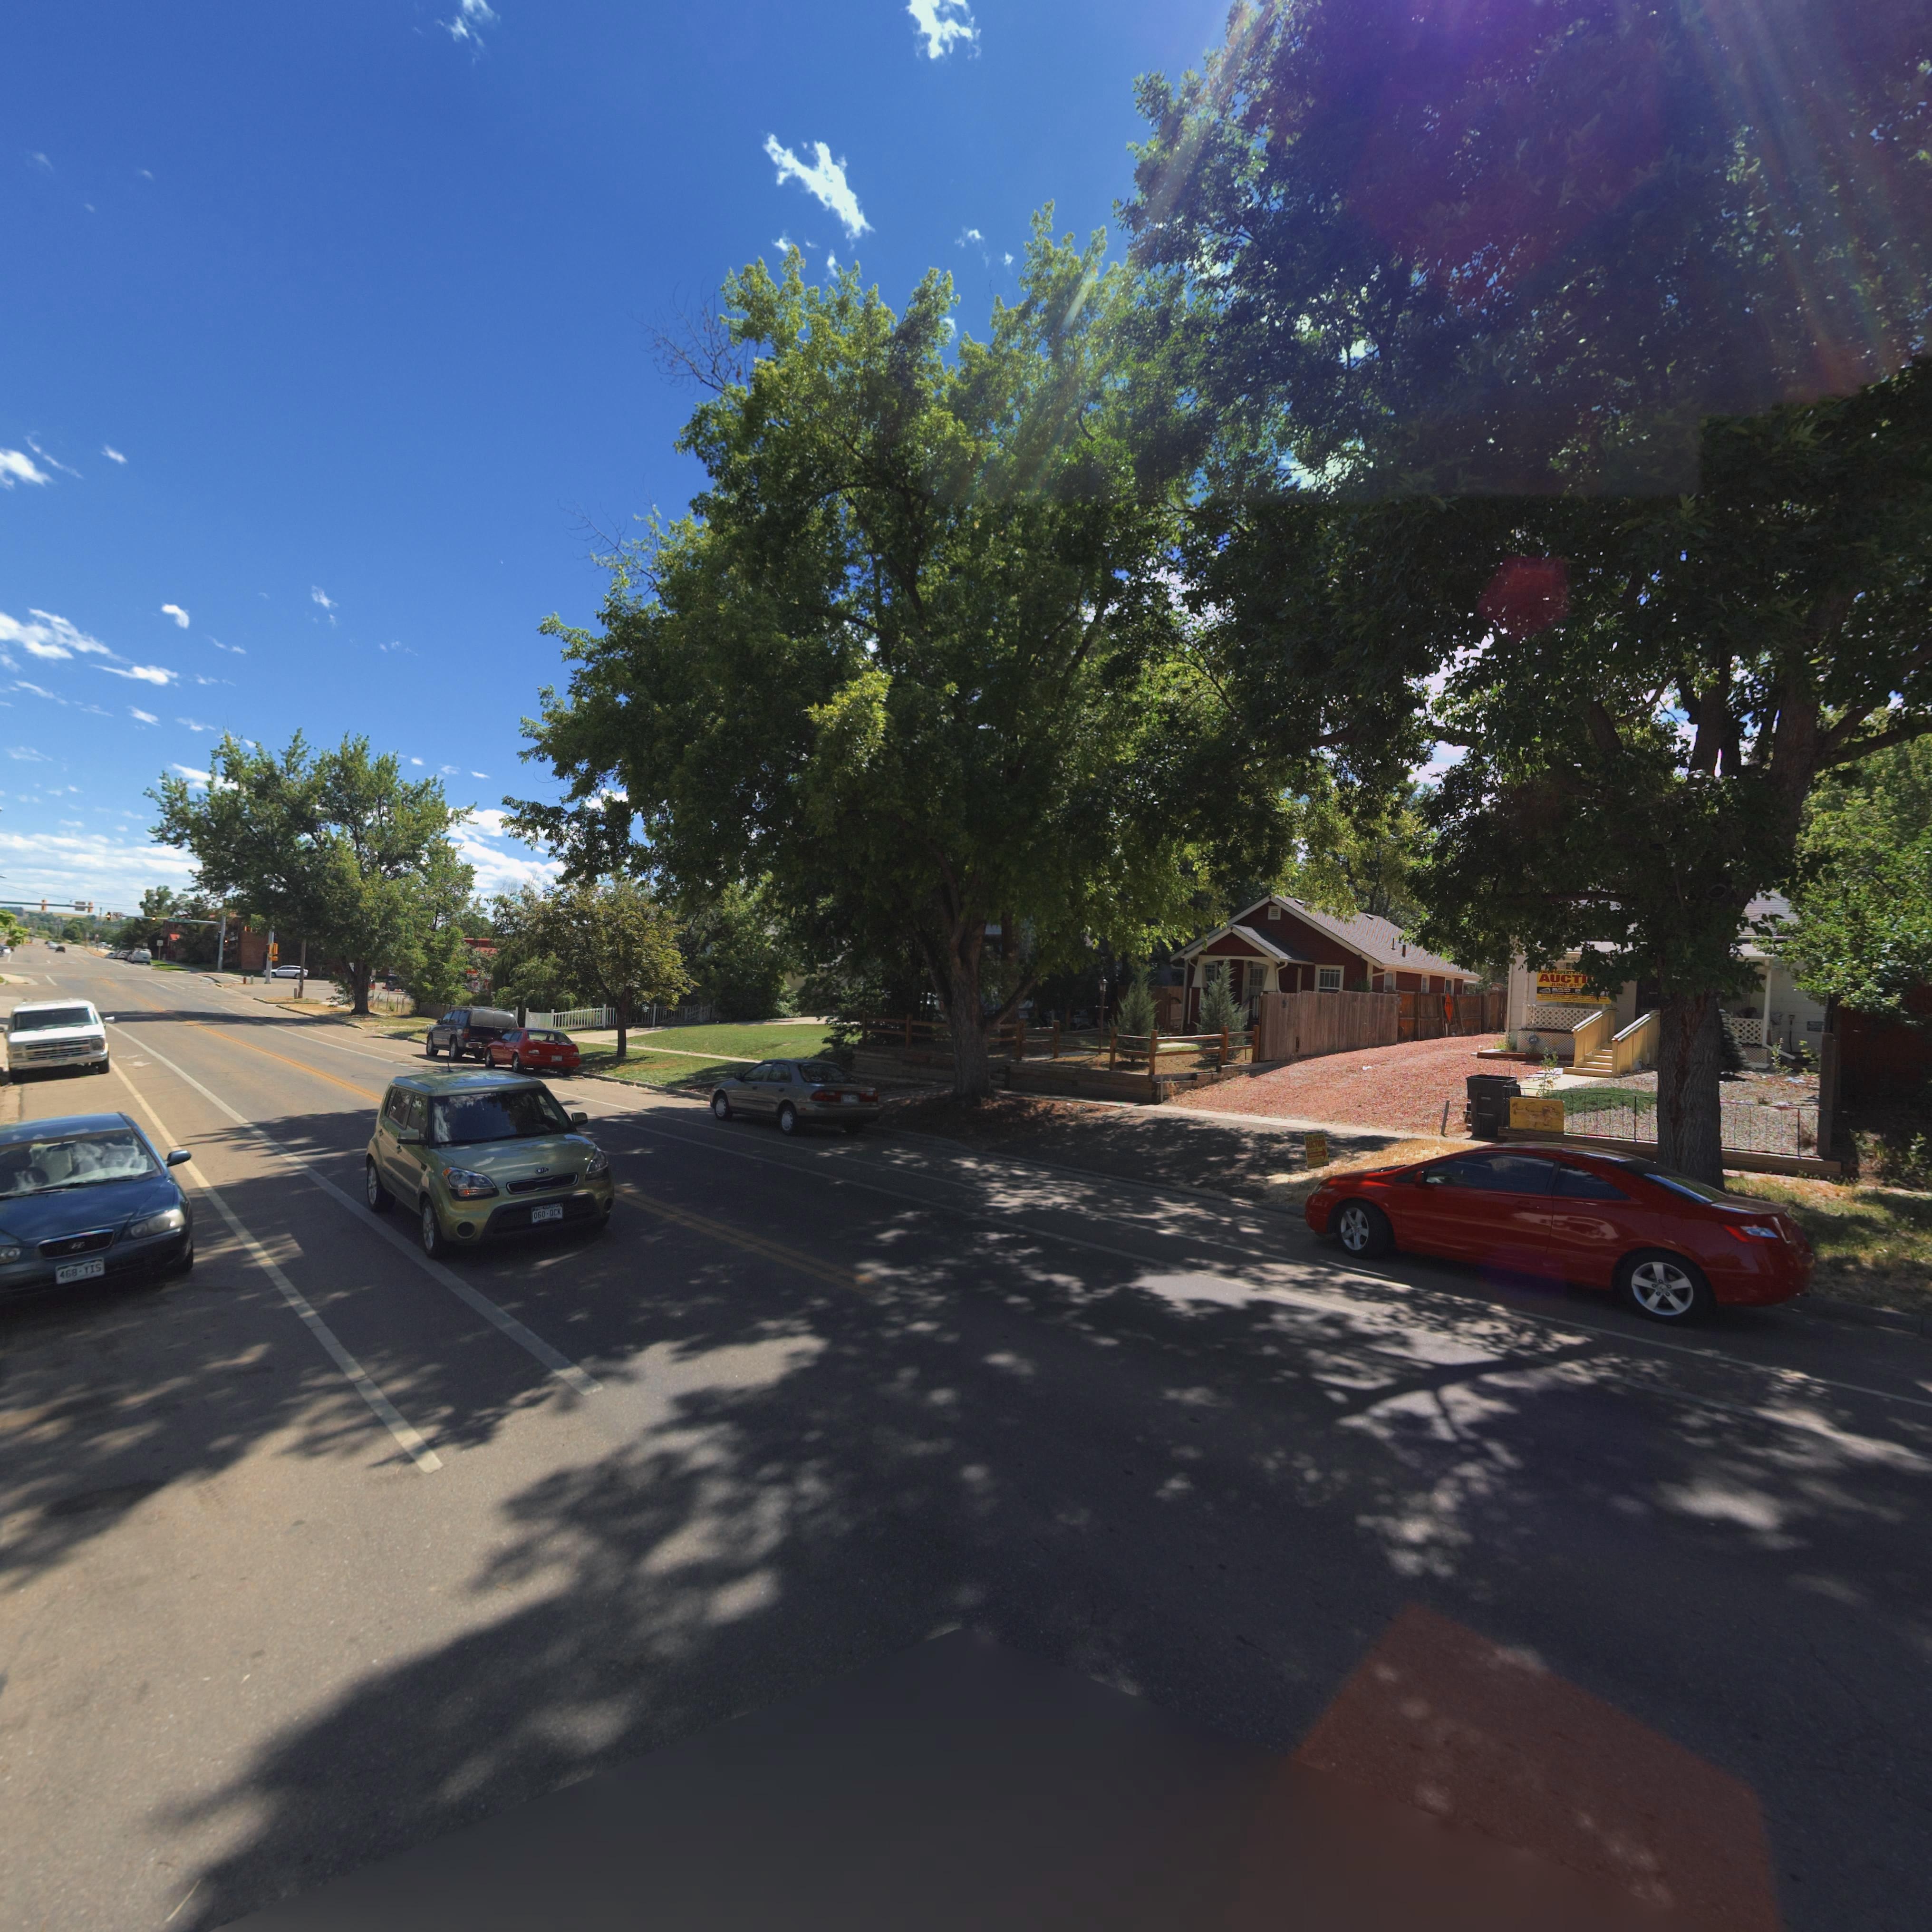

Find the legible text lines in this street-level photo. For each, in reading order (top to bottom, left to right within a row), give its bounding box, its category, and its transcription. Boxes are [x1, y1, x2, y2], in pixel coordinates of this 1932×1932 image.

[1539, 974, 1587, 983] BusinessName: AUCT